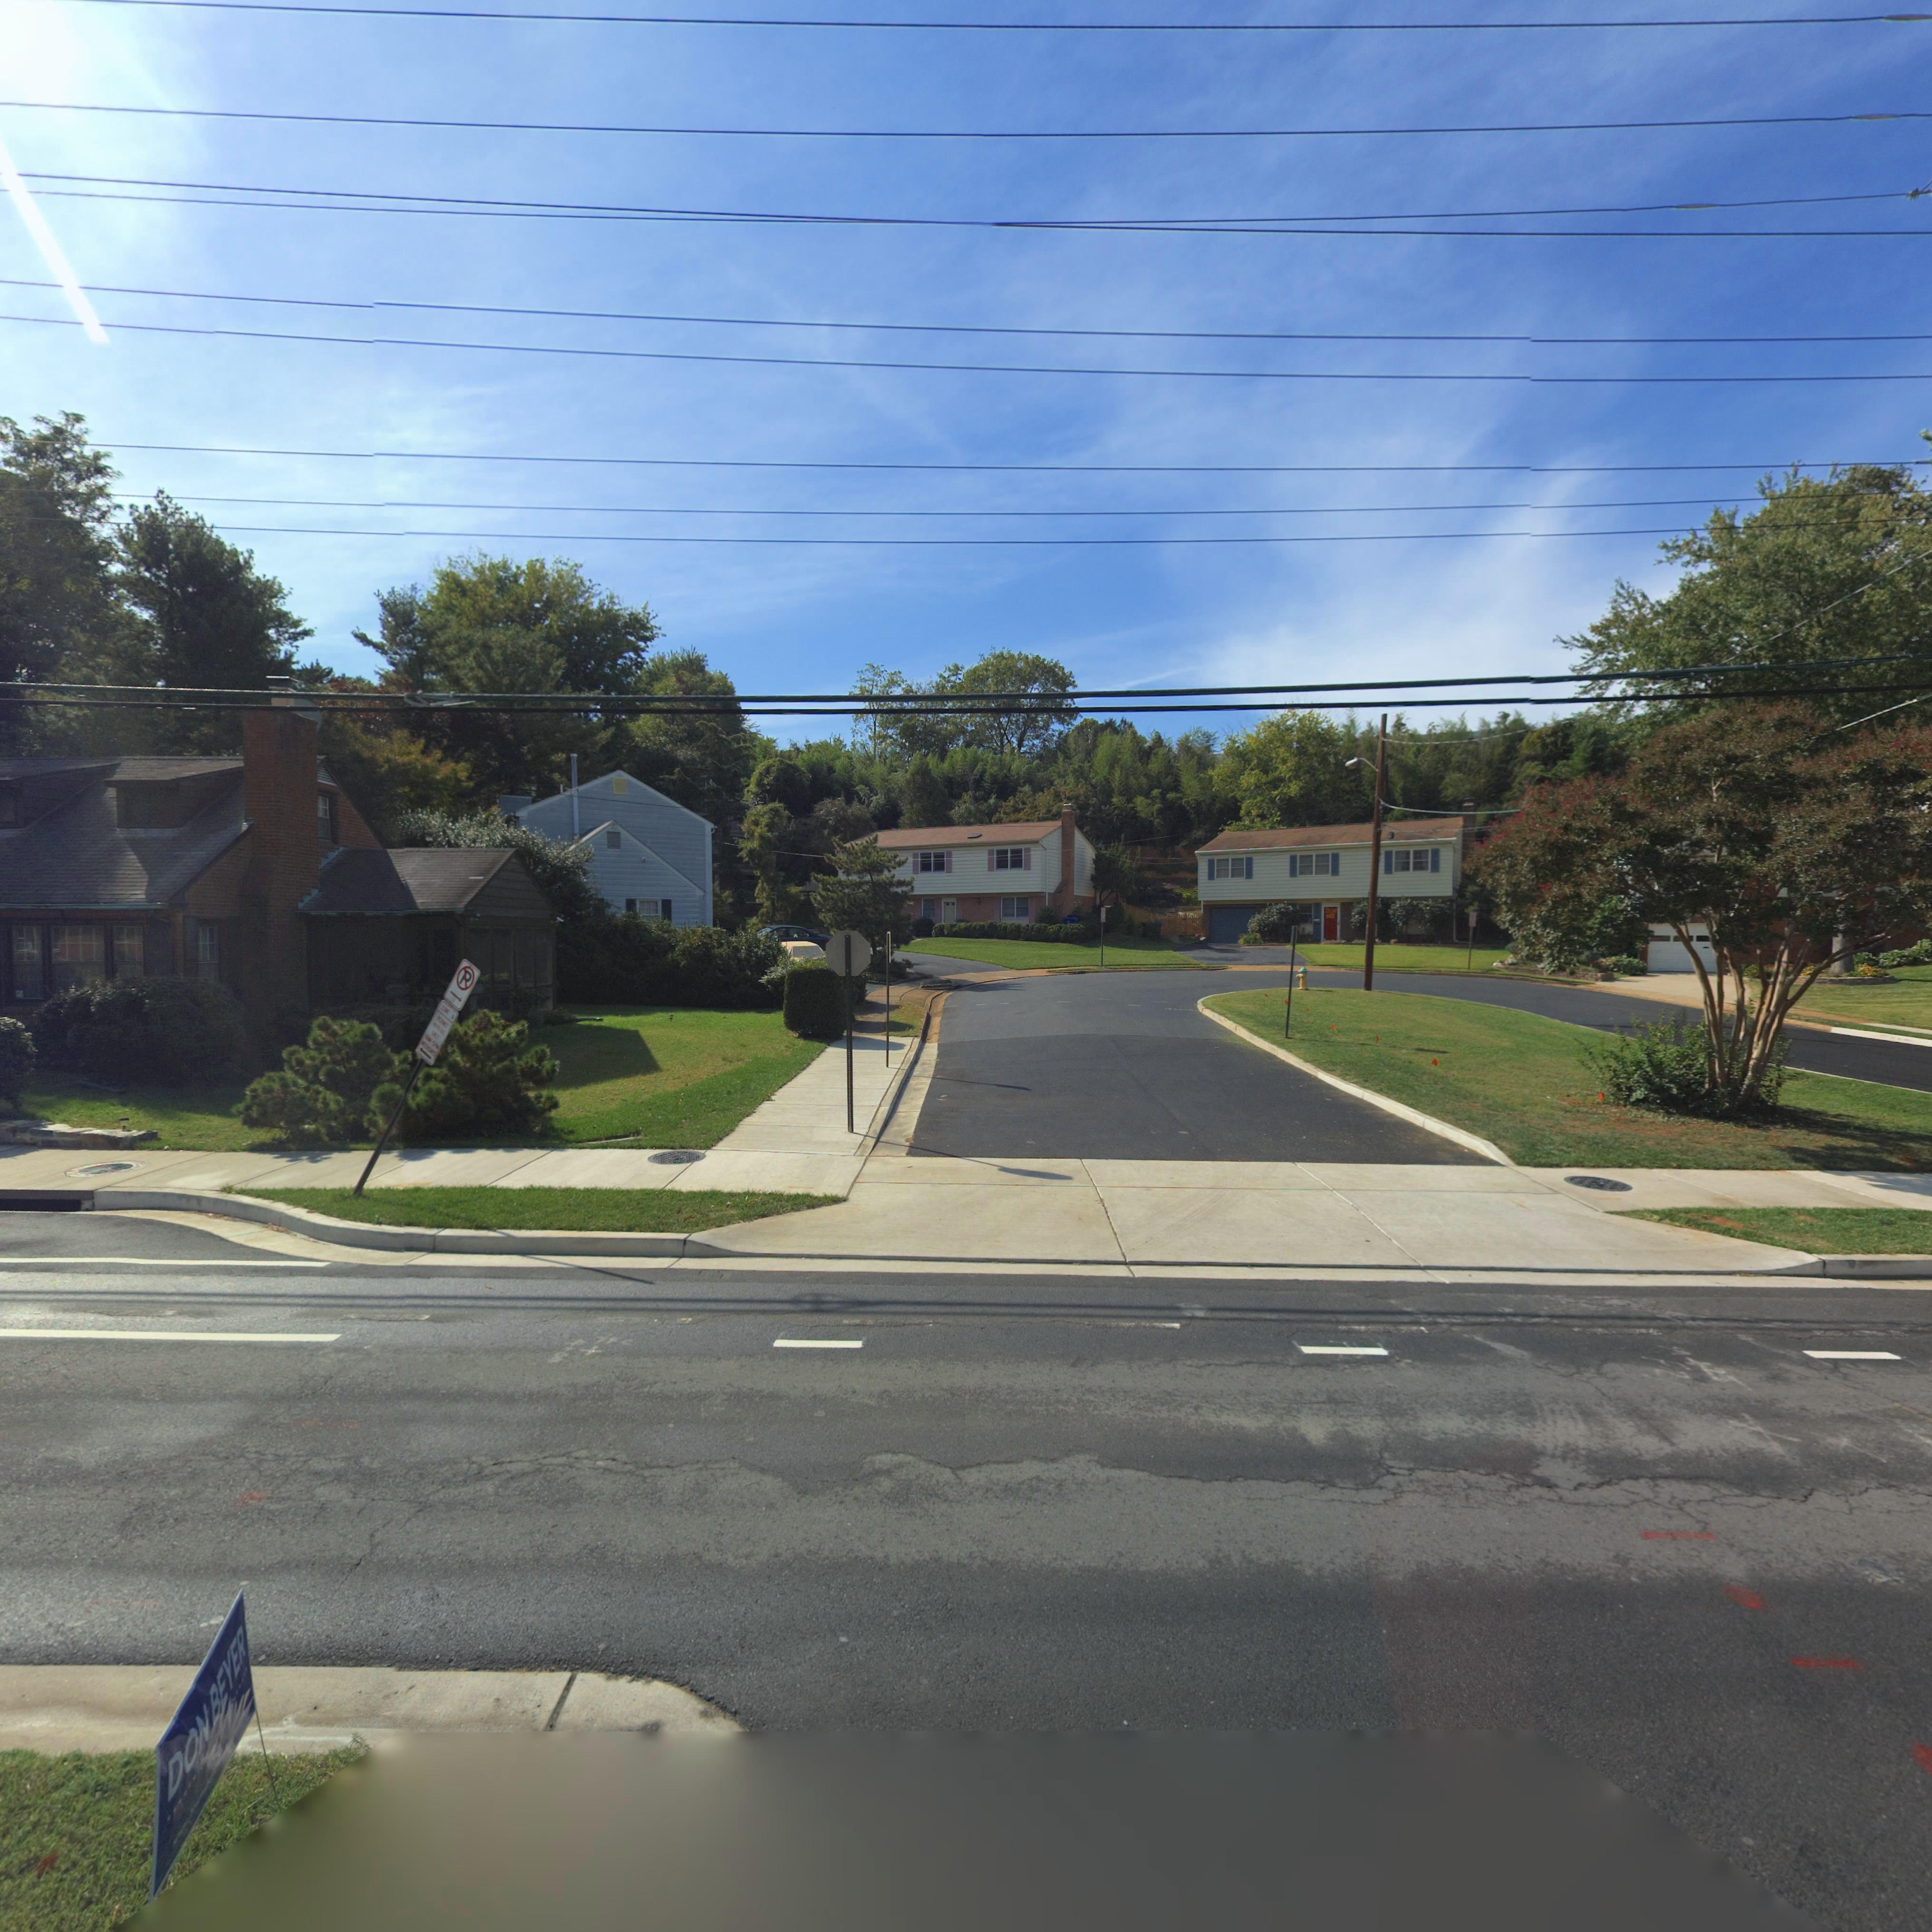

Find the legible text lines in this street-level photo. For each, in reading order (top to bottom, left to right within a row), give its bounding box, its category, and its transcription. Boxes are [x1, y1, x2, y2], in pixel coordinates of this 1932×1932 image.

[165, 1621, 248, 1807] None: DON BEYER